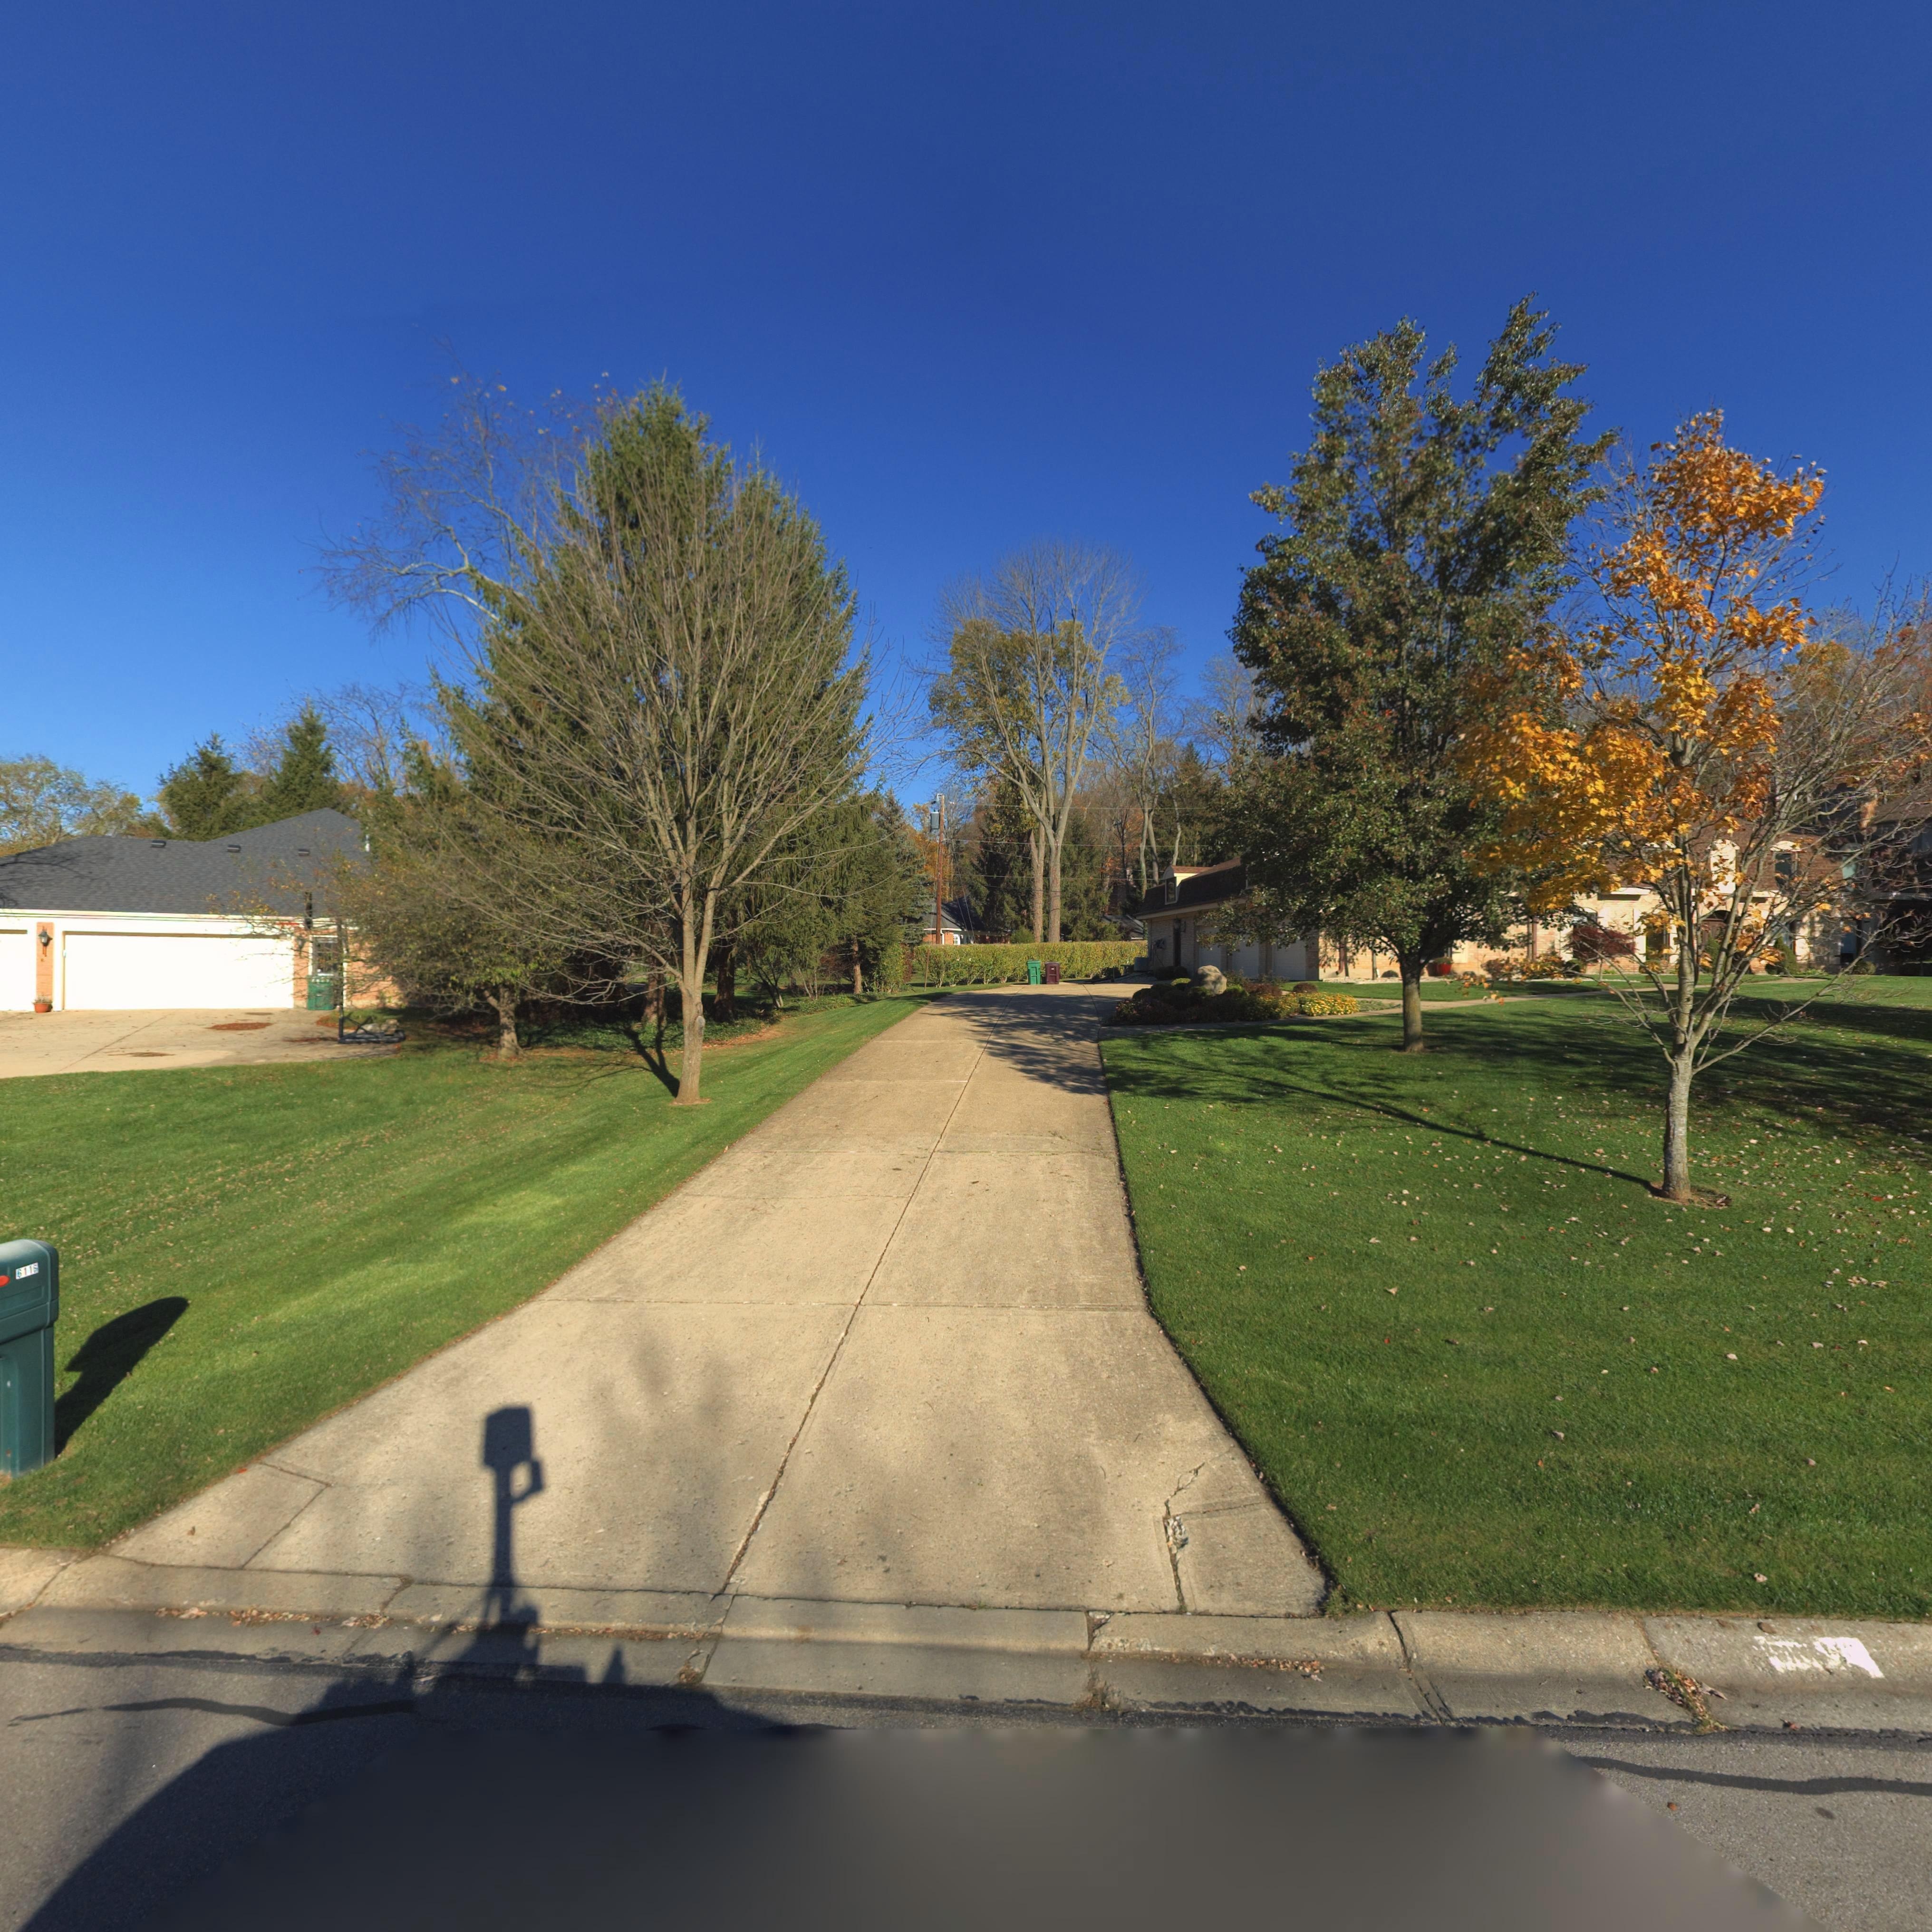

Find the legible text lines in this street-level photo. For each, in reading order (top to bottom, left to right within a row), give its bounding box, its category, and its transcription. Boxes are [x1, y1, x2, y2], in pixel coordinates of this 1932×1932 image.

[15, 1263, 39, 1280] StreetNumber: 6116